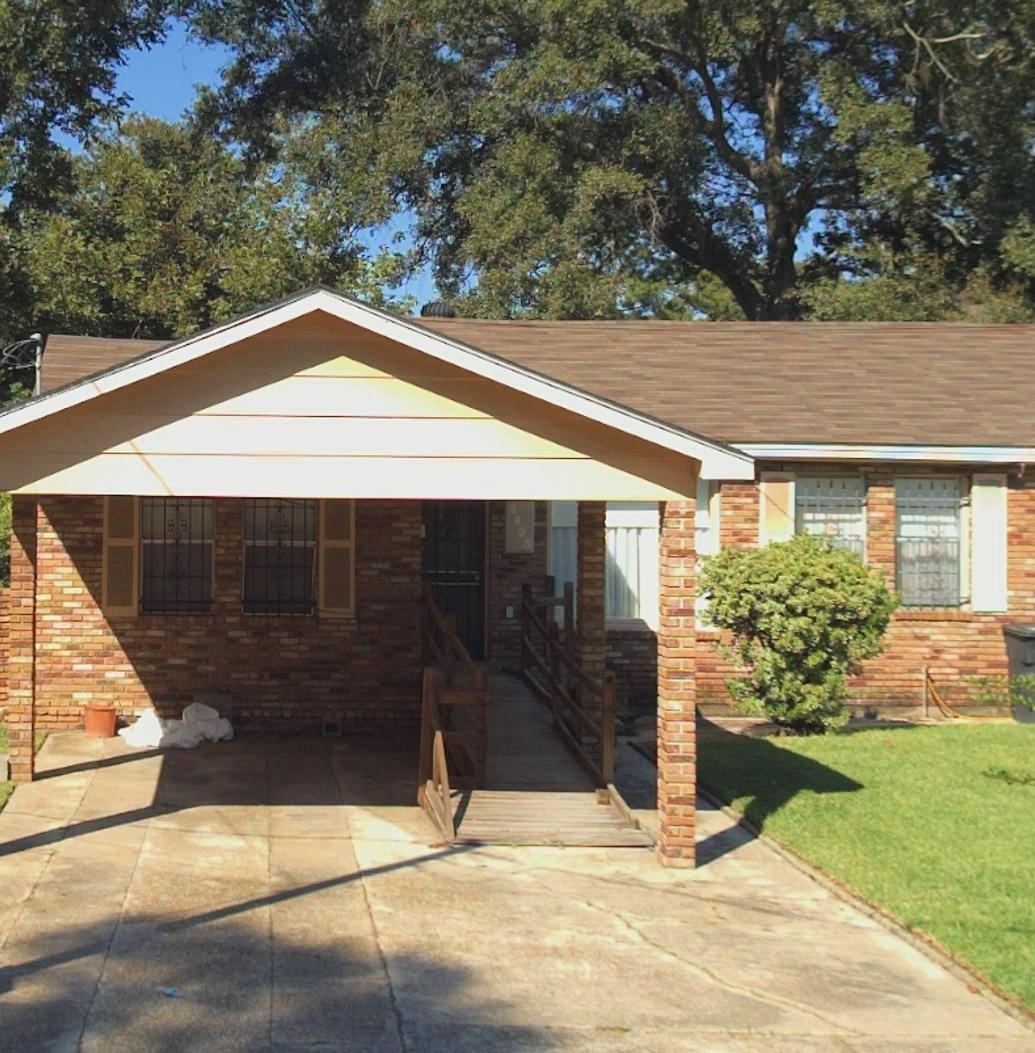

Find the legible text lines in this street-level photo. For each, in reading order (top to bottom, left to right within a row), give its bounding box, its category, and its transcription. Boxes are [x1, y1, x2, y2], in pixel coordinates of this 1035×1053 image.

[506, 503, 532, 550] StreetNumber: 3425